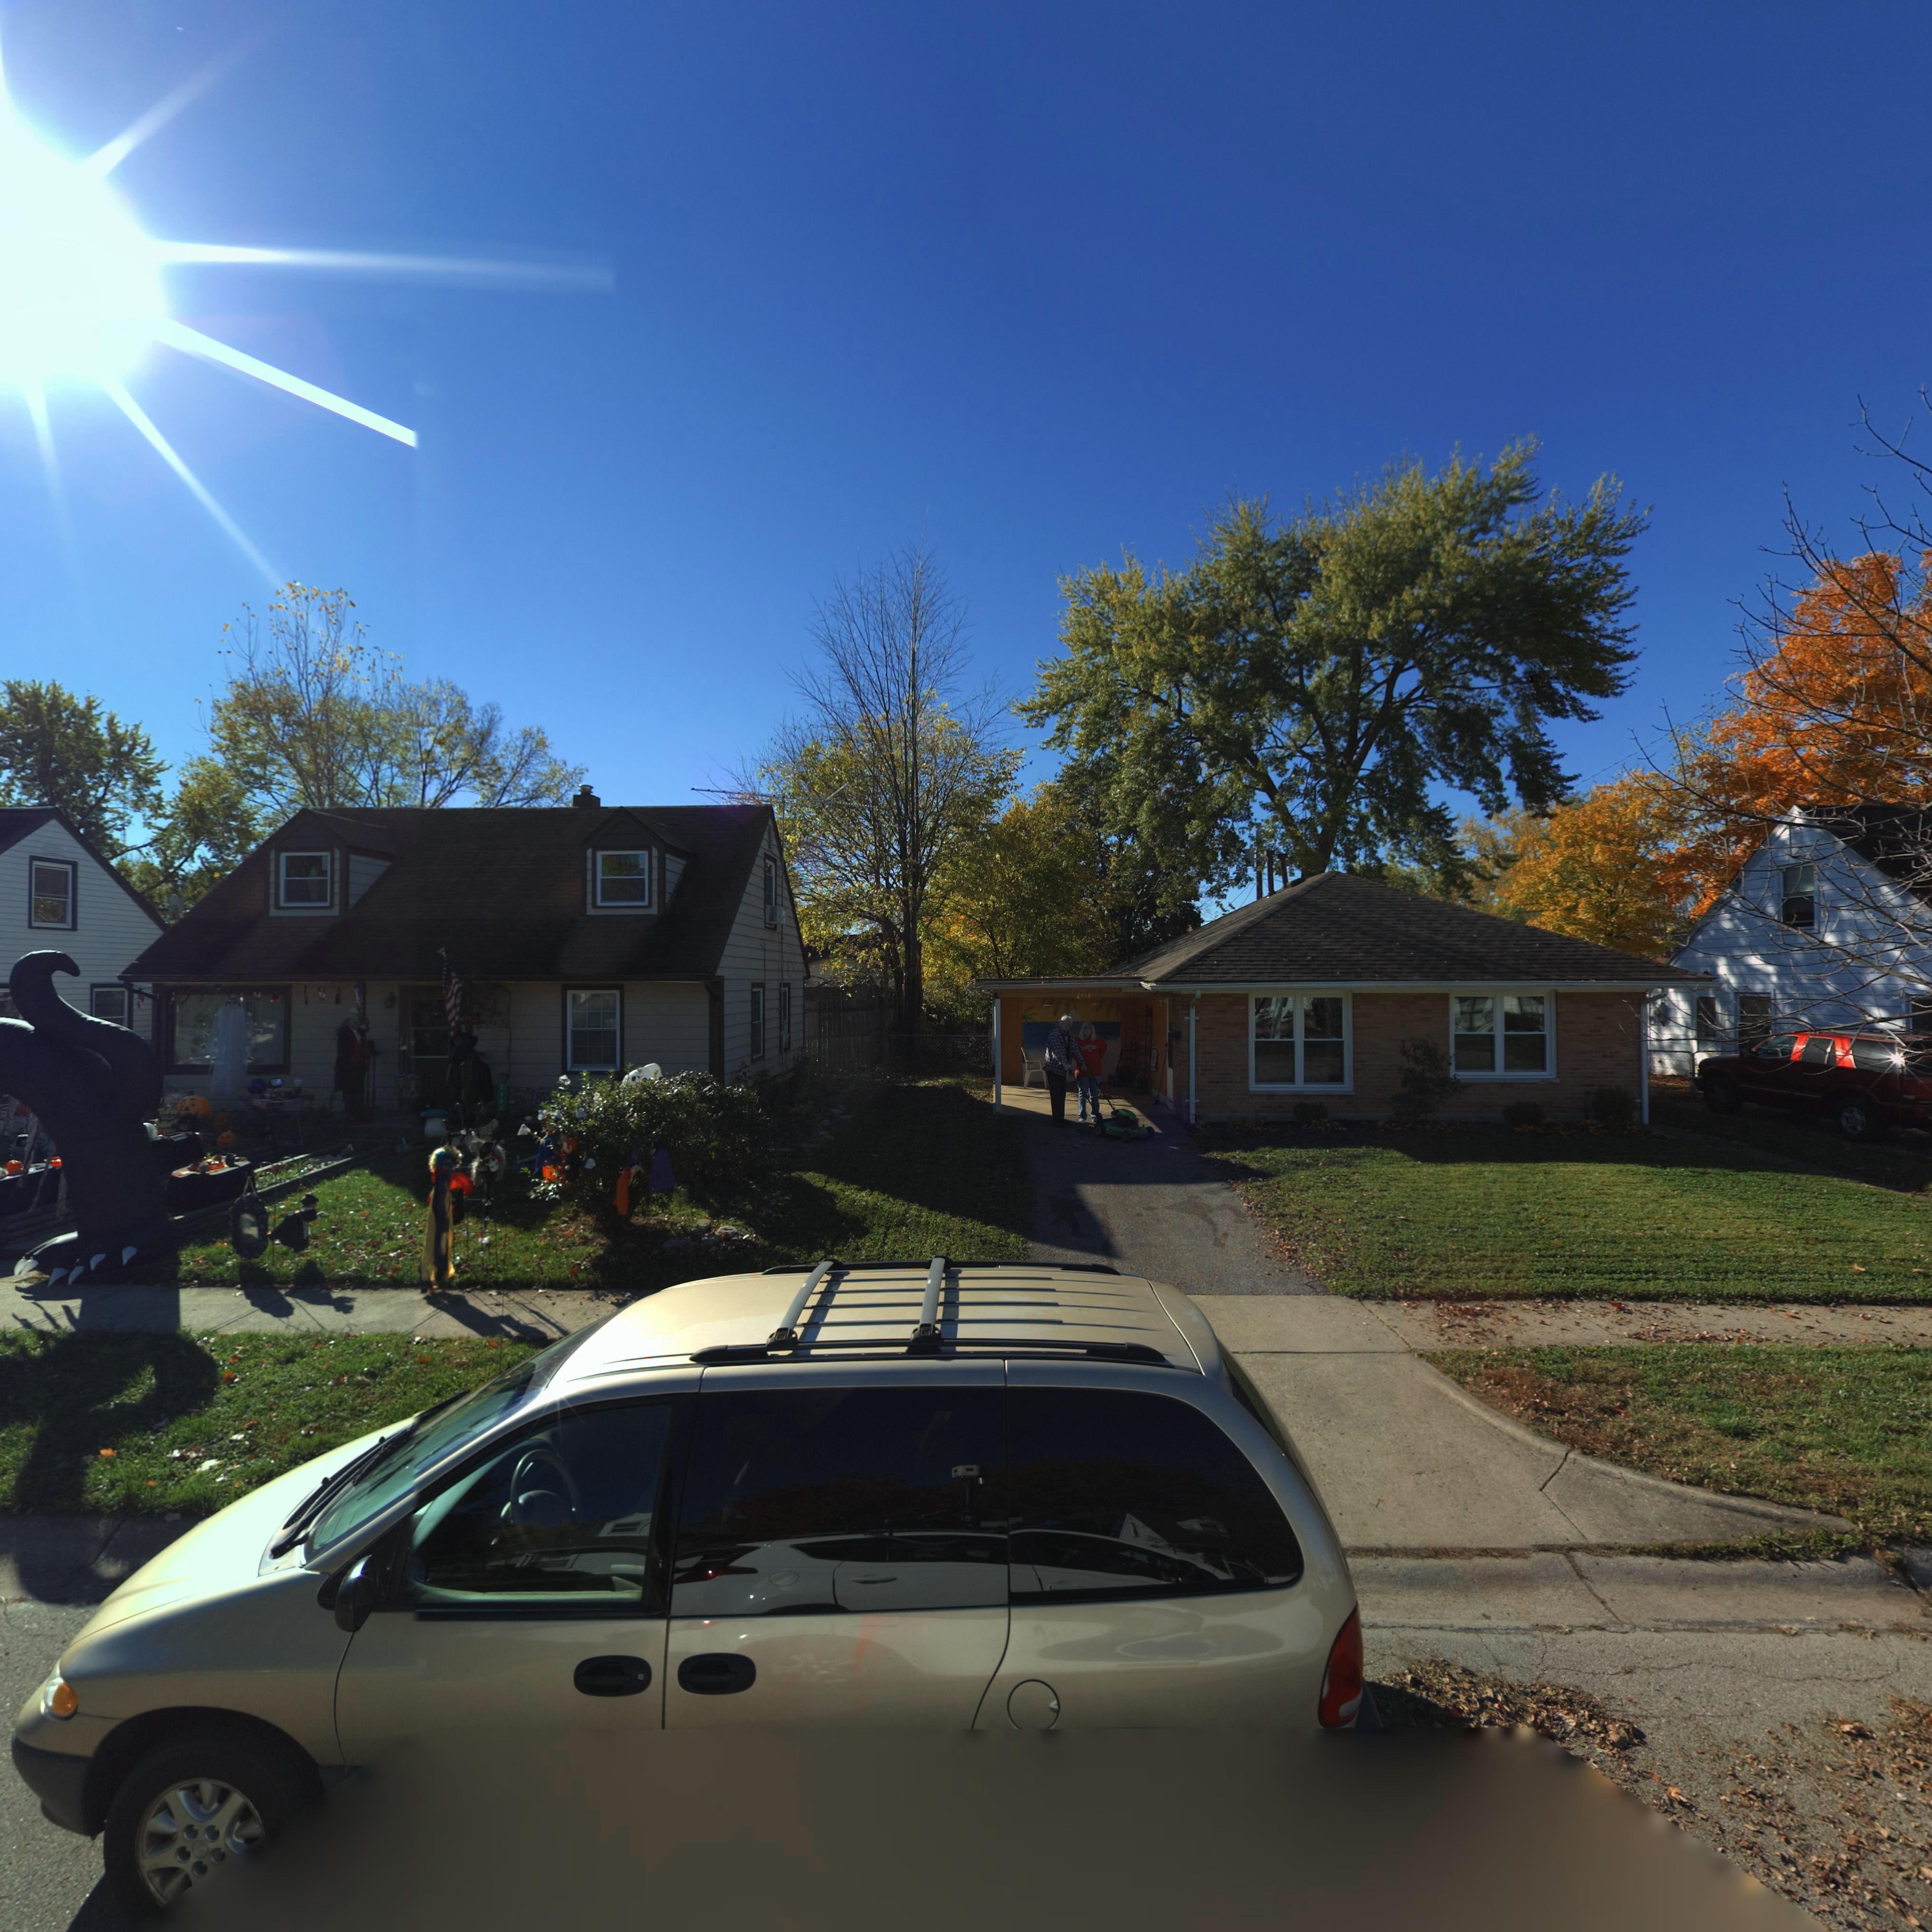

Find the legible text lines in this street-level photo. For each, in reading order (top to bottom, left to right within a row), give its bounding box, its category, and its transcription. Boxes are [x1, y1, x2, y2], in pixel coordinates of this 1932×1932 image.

[1076, 992, 1092, 1000] StreetNumber: 2414
[498, 1083, 505, 1112] StreetNumber: 2***